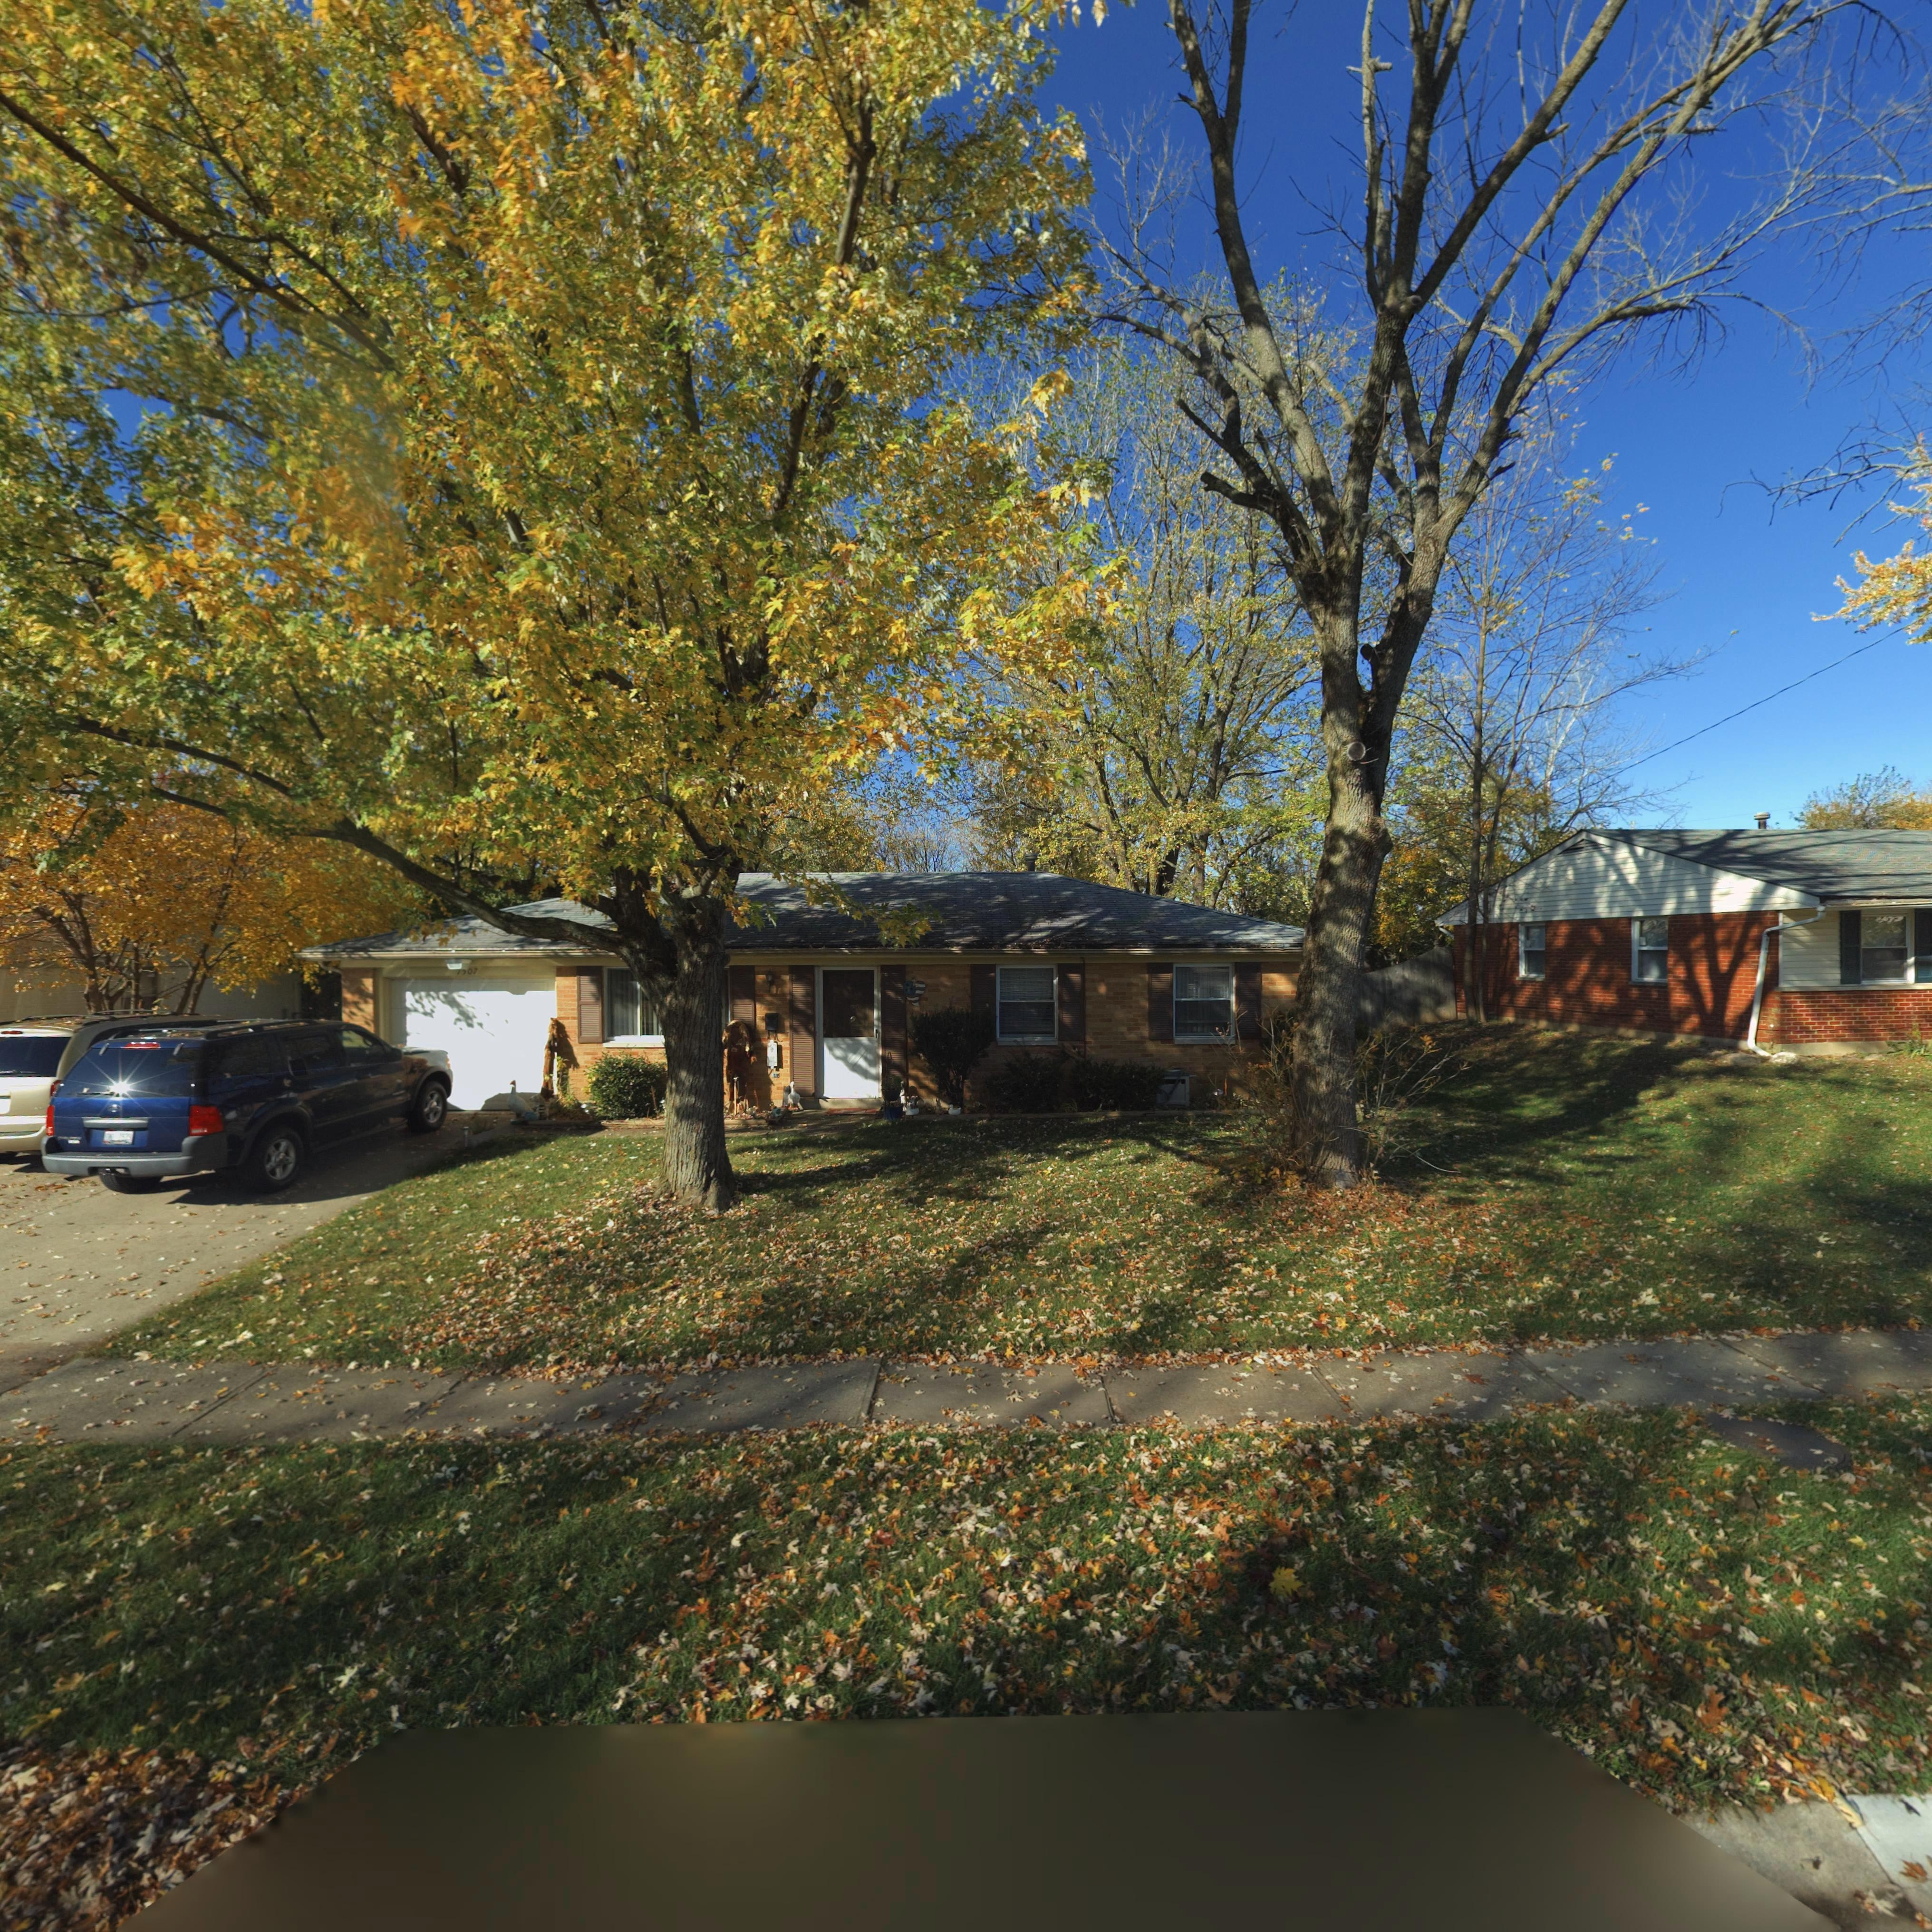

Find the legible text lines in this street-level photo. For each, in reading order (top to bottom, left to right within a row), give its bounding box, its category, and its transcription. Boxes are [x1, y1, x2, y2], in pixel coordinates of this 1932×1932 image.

[455, 967, 479, 976] StreetNumber: **07